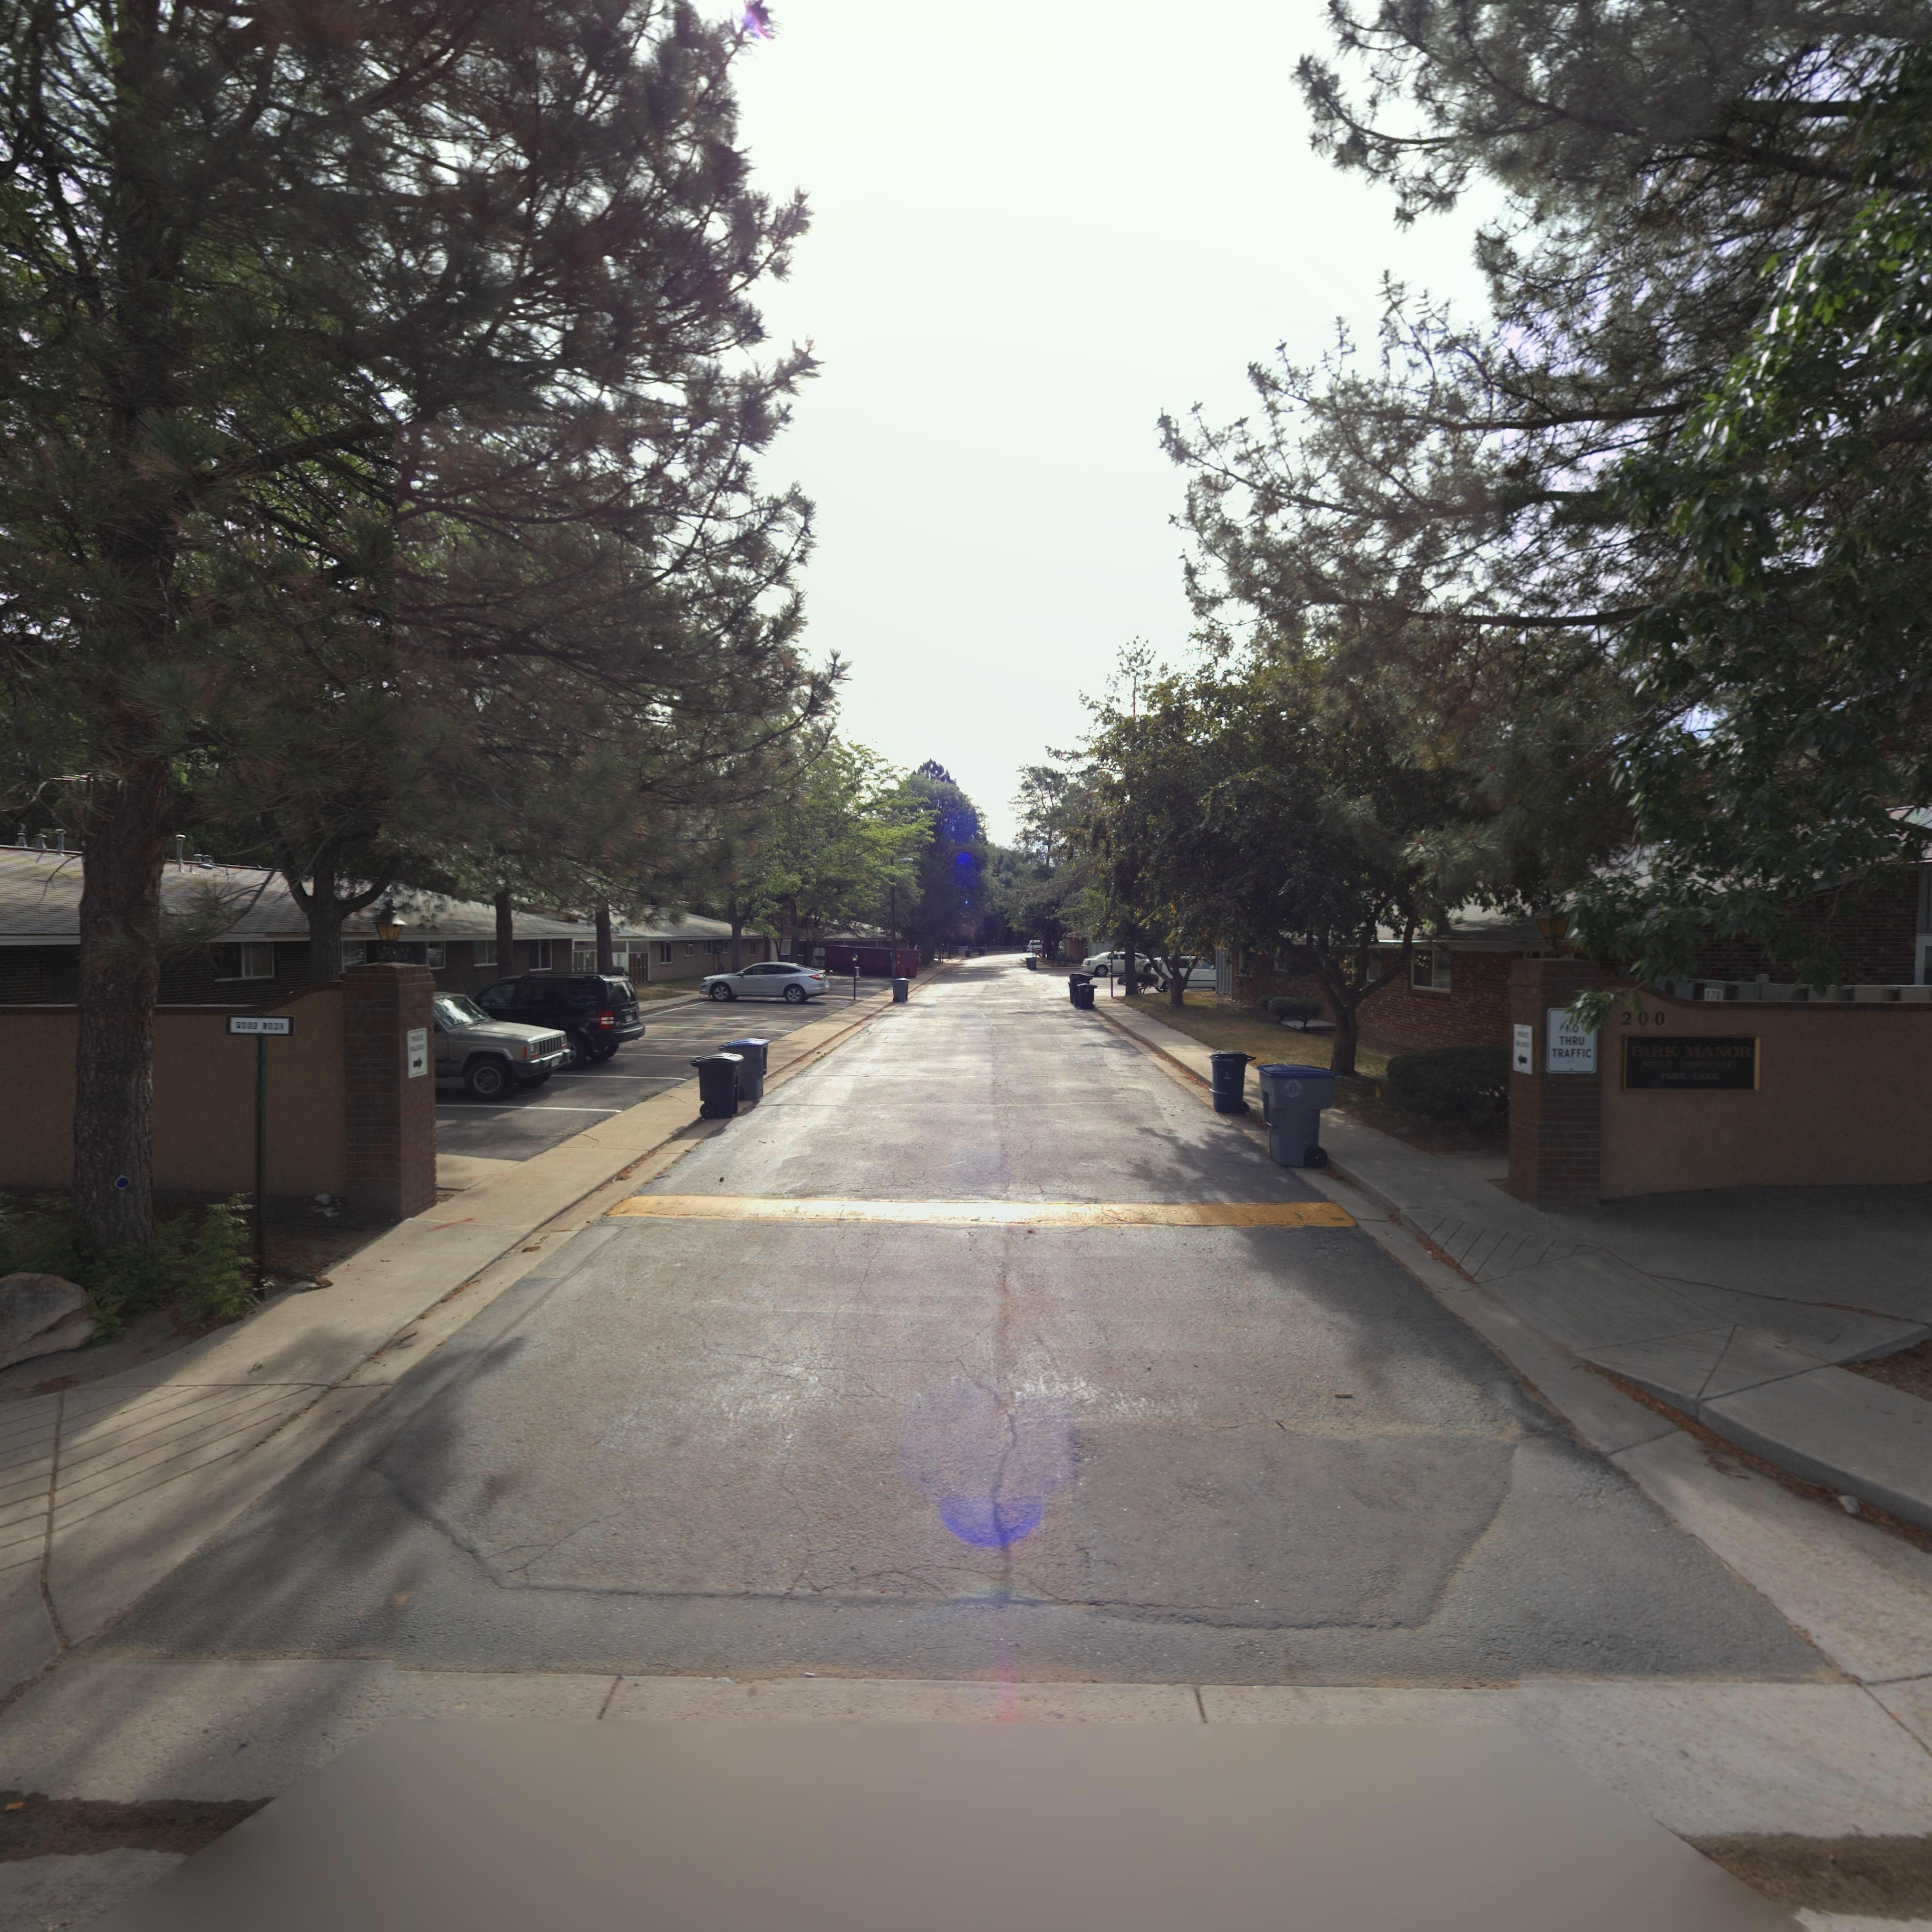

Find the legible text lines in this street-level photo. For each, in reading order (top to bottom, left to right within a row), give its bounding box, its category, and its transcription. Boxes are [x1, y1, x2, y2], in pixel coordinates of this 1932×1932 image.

[1705, 989, 1721, 1001] StreetNumber: 170
[1621, 1011, 1665, 1025] StreetNumber: 200
[235, 1021, 284, 1030] StreetName: PARK LANE
[1660, 1072, 1719, 1080] StreetName: PARK LANE